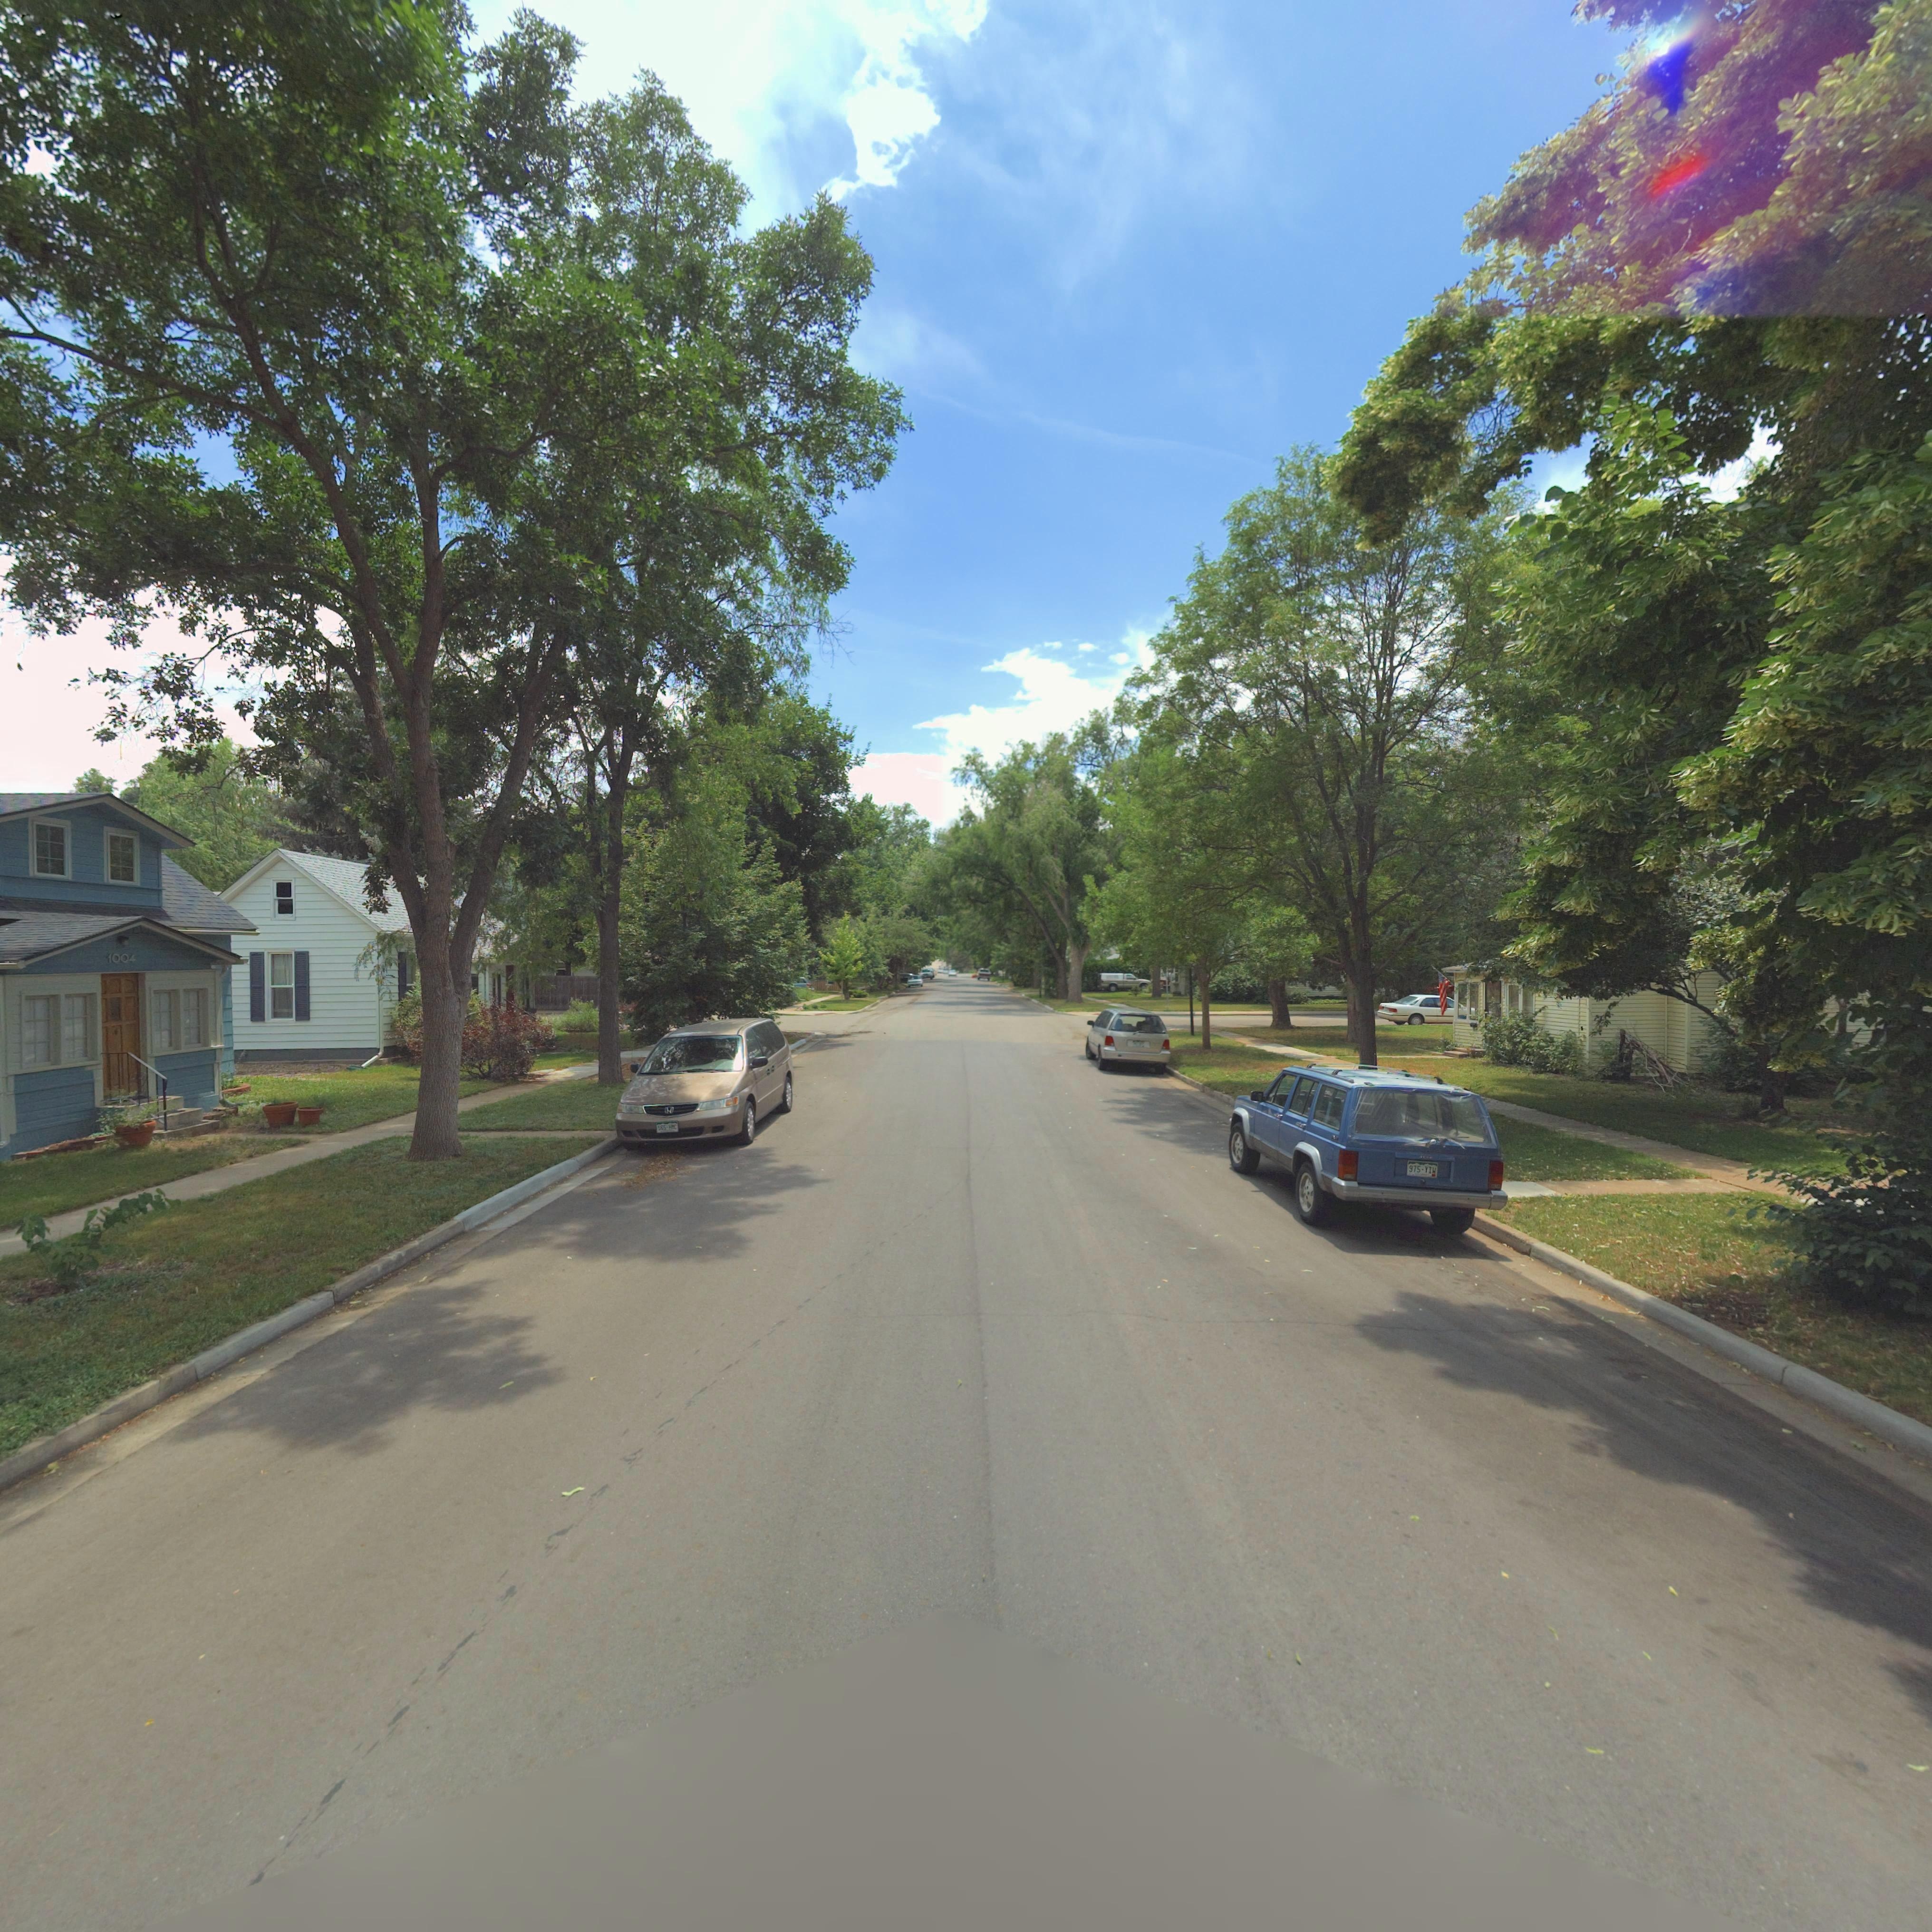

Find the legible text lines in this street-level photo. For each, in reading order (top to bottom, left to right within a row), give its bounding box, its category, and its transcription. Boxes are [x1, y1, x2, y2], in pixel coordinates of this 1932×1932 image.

[108, 953, 137, 965] StreetNumber: 1004